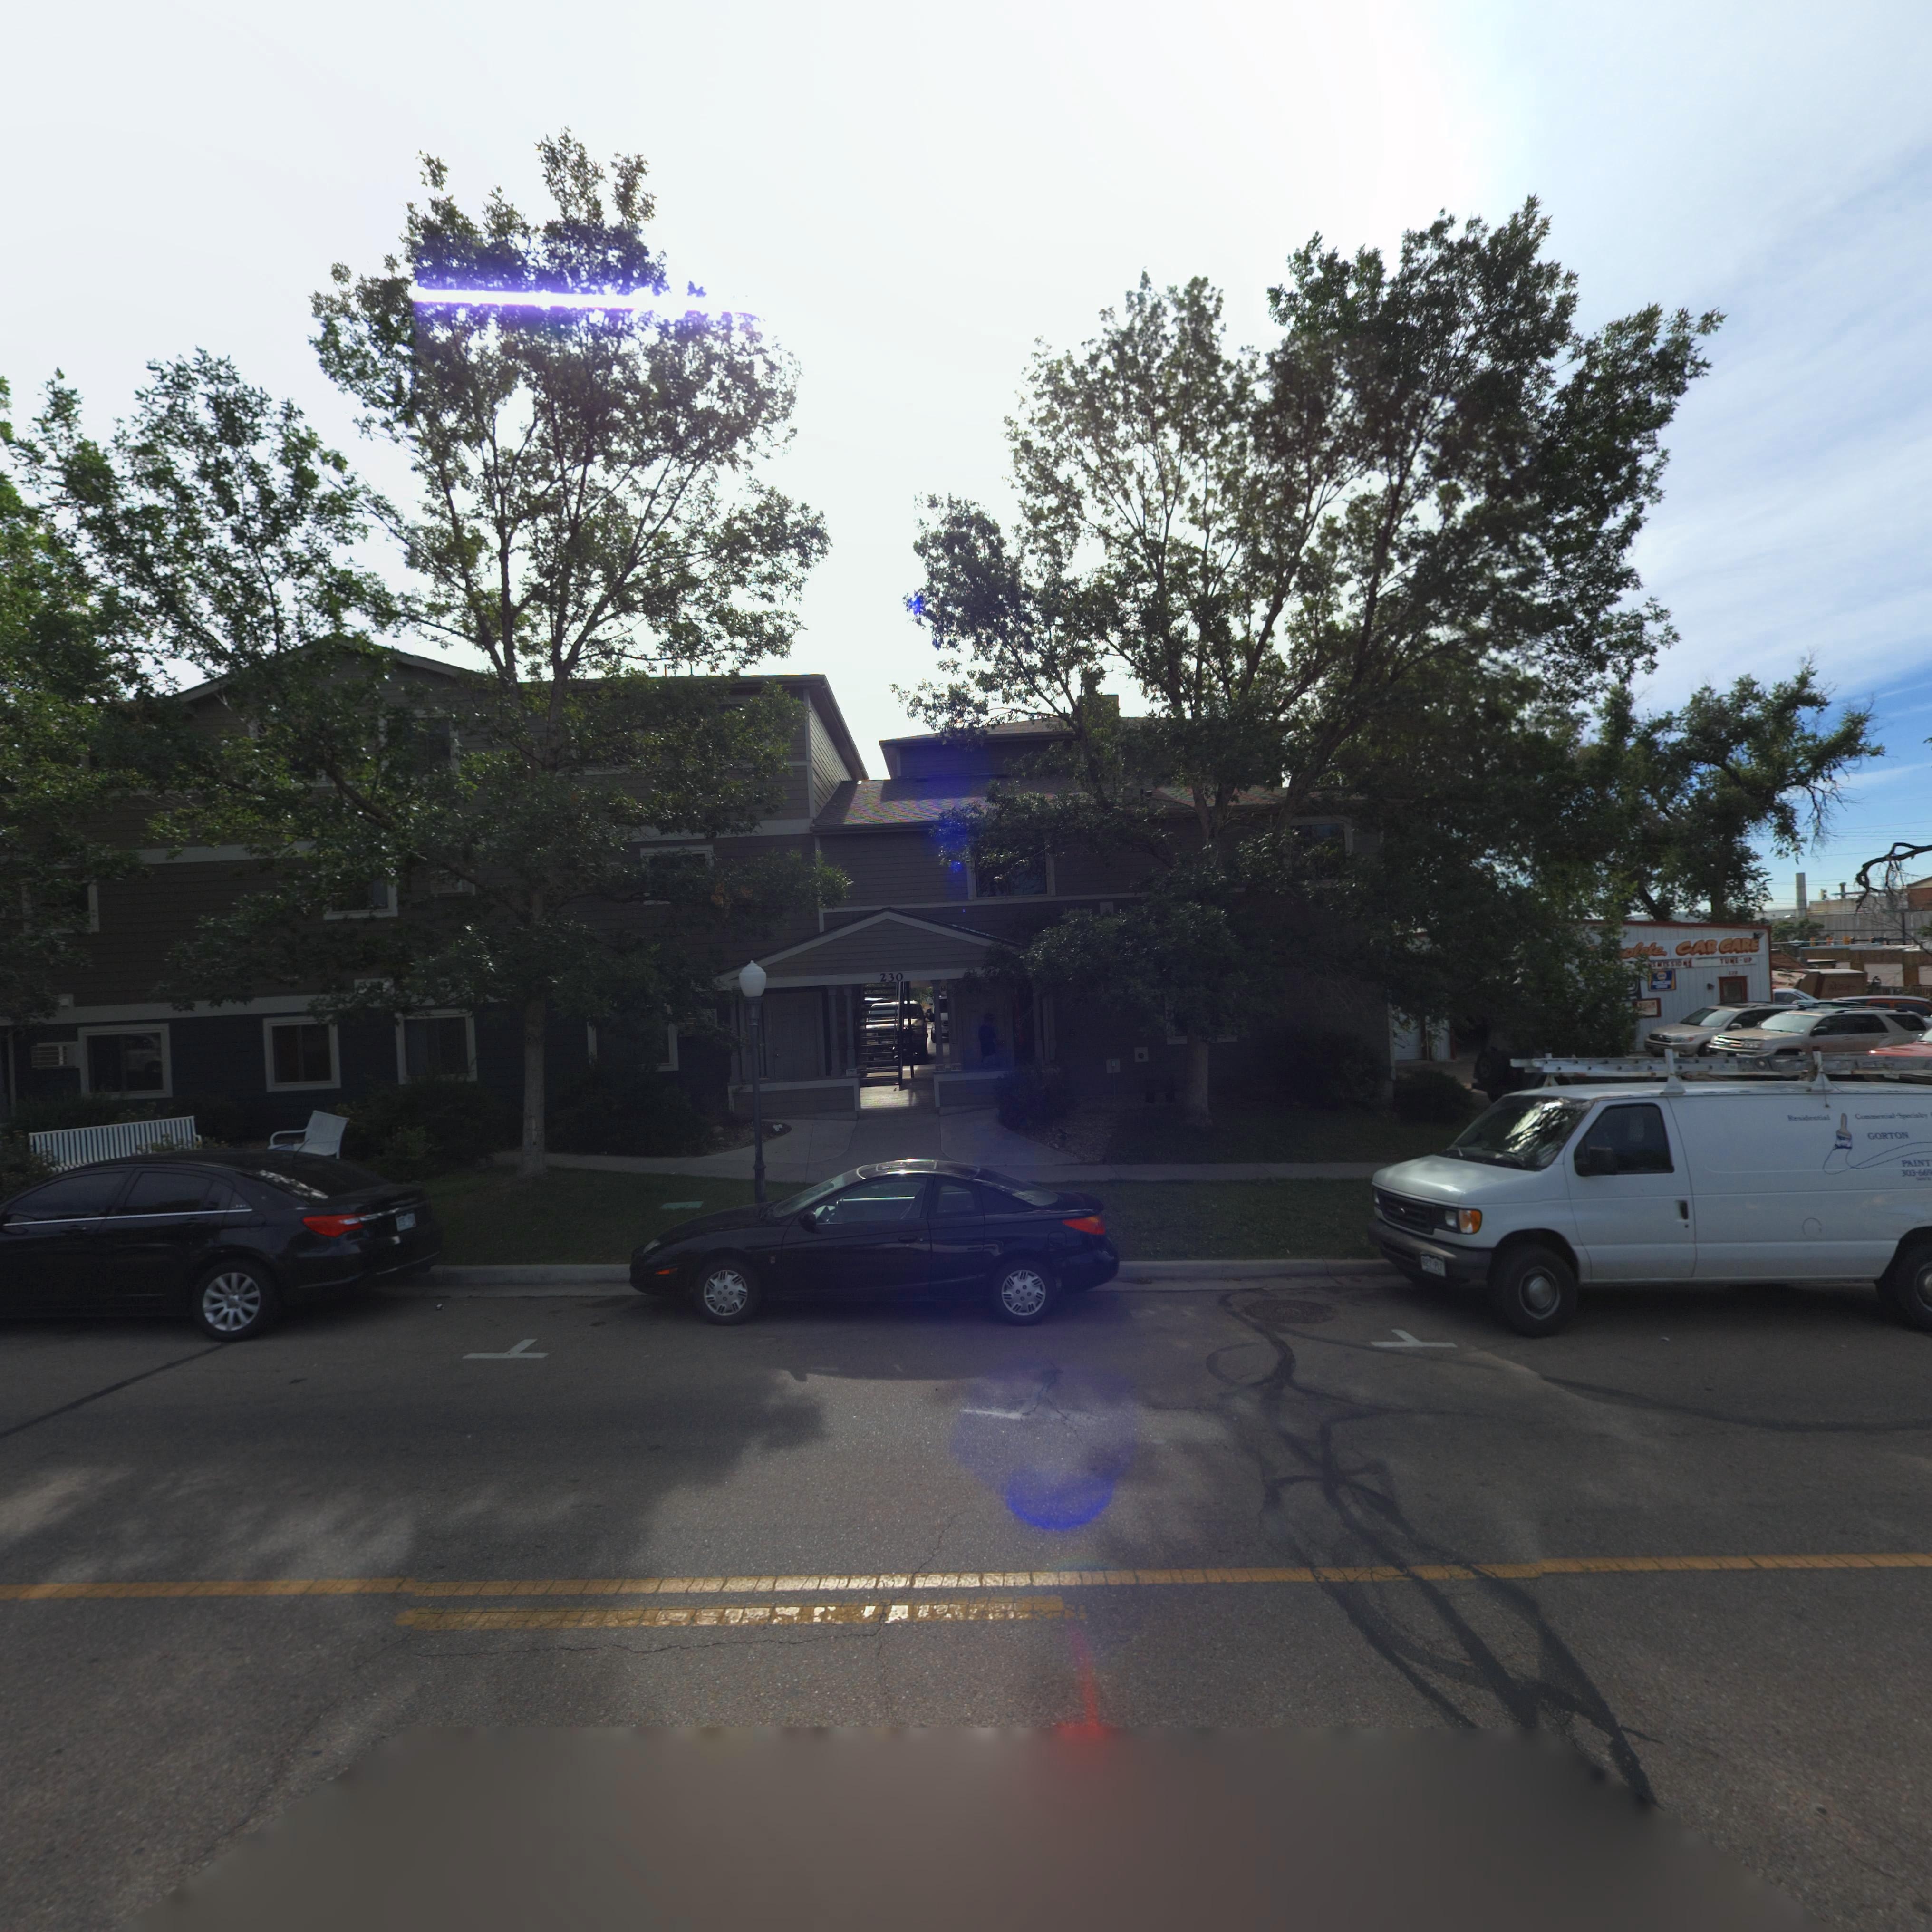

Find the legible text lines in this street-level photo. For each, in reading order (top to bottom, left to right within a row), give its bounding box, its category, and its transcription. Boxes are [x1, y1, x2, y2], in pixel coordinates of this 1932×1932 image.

[1623, 941, 1670, 958] BusinessName: ****olete
[1674, 936, 1760, 957] BusinessName: CAR GARE
[878, 972, 905, 981] StreetNumber: 230
[1866, 1130, 1911, 1139] BusinessName: GORTON